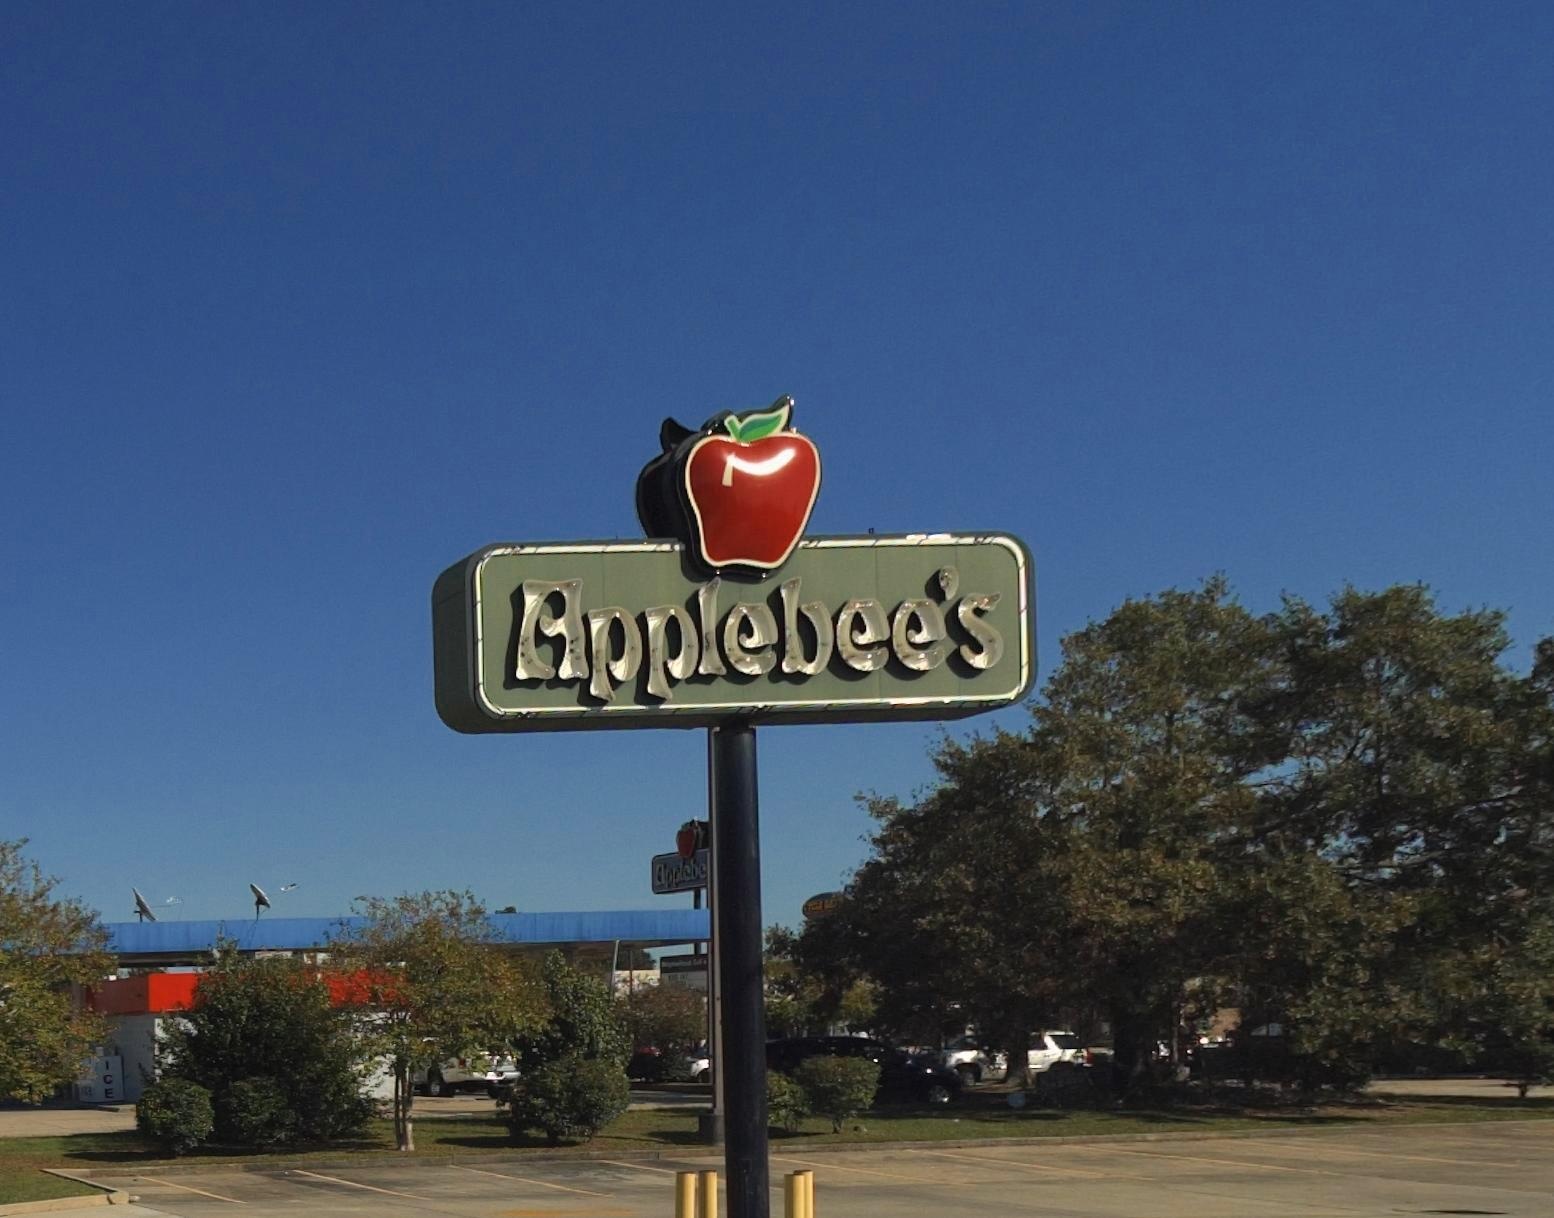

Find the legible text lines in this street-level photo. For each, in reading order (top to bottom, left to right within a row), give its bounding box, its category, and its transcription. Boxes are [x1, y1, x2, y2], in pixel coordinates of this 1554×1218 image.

[508, 561, 1009, 707] BusinessName: Applebee's
[653, 854, 710, 891] BusinessName: Applebe
[101, 1058, 116, 1100] None: ICE